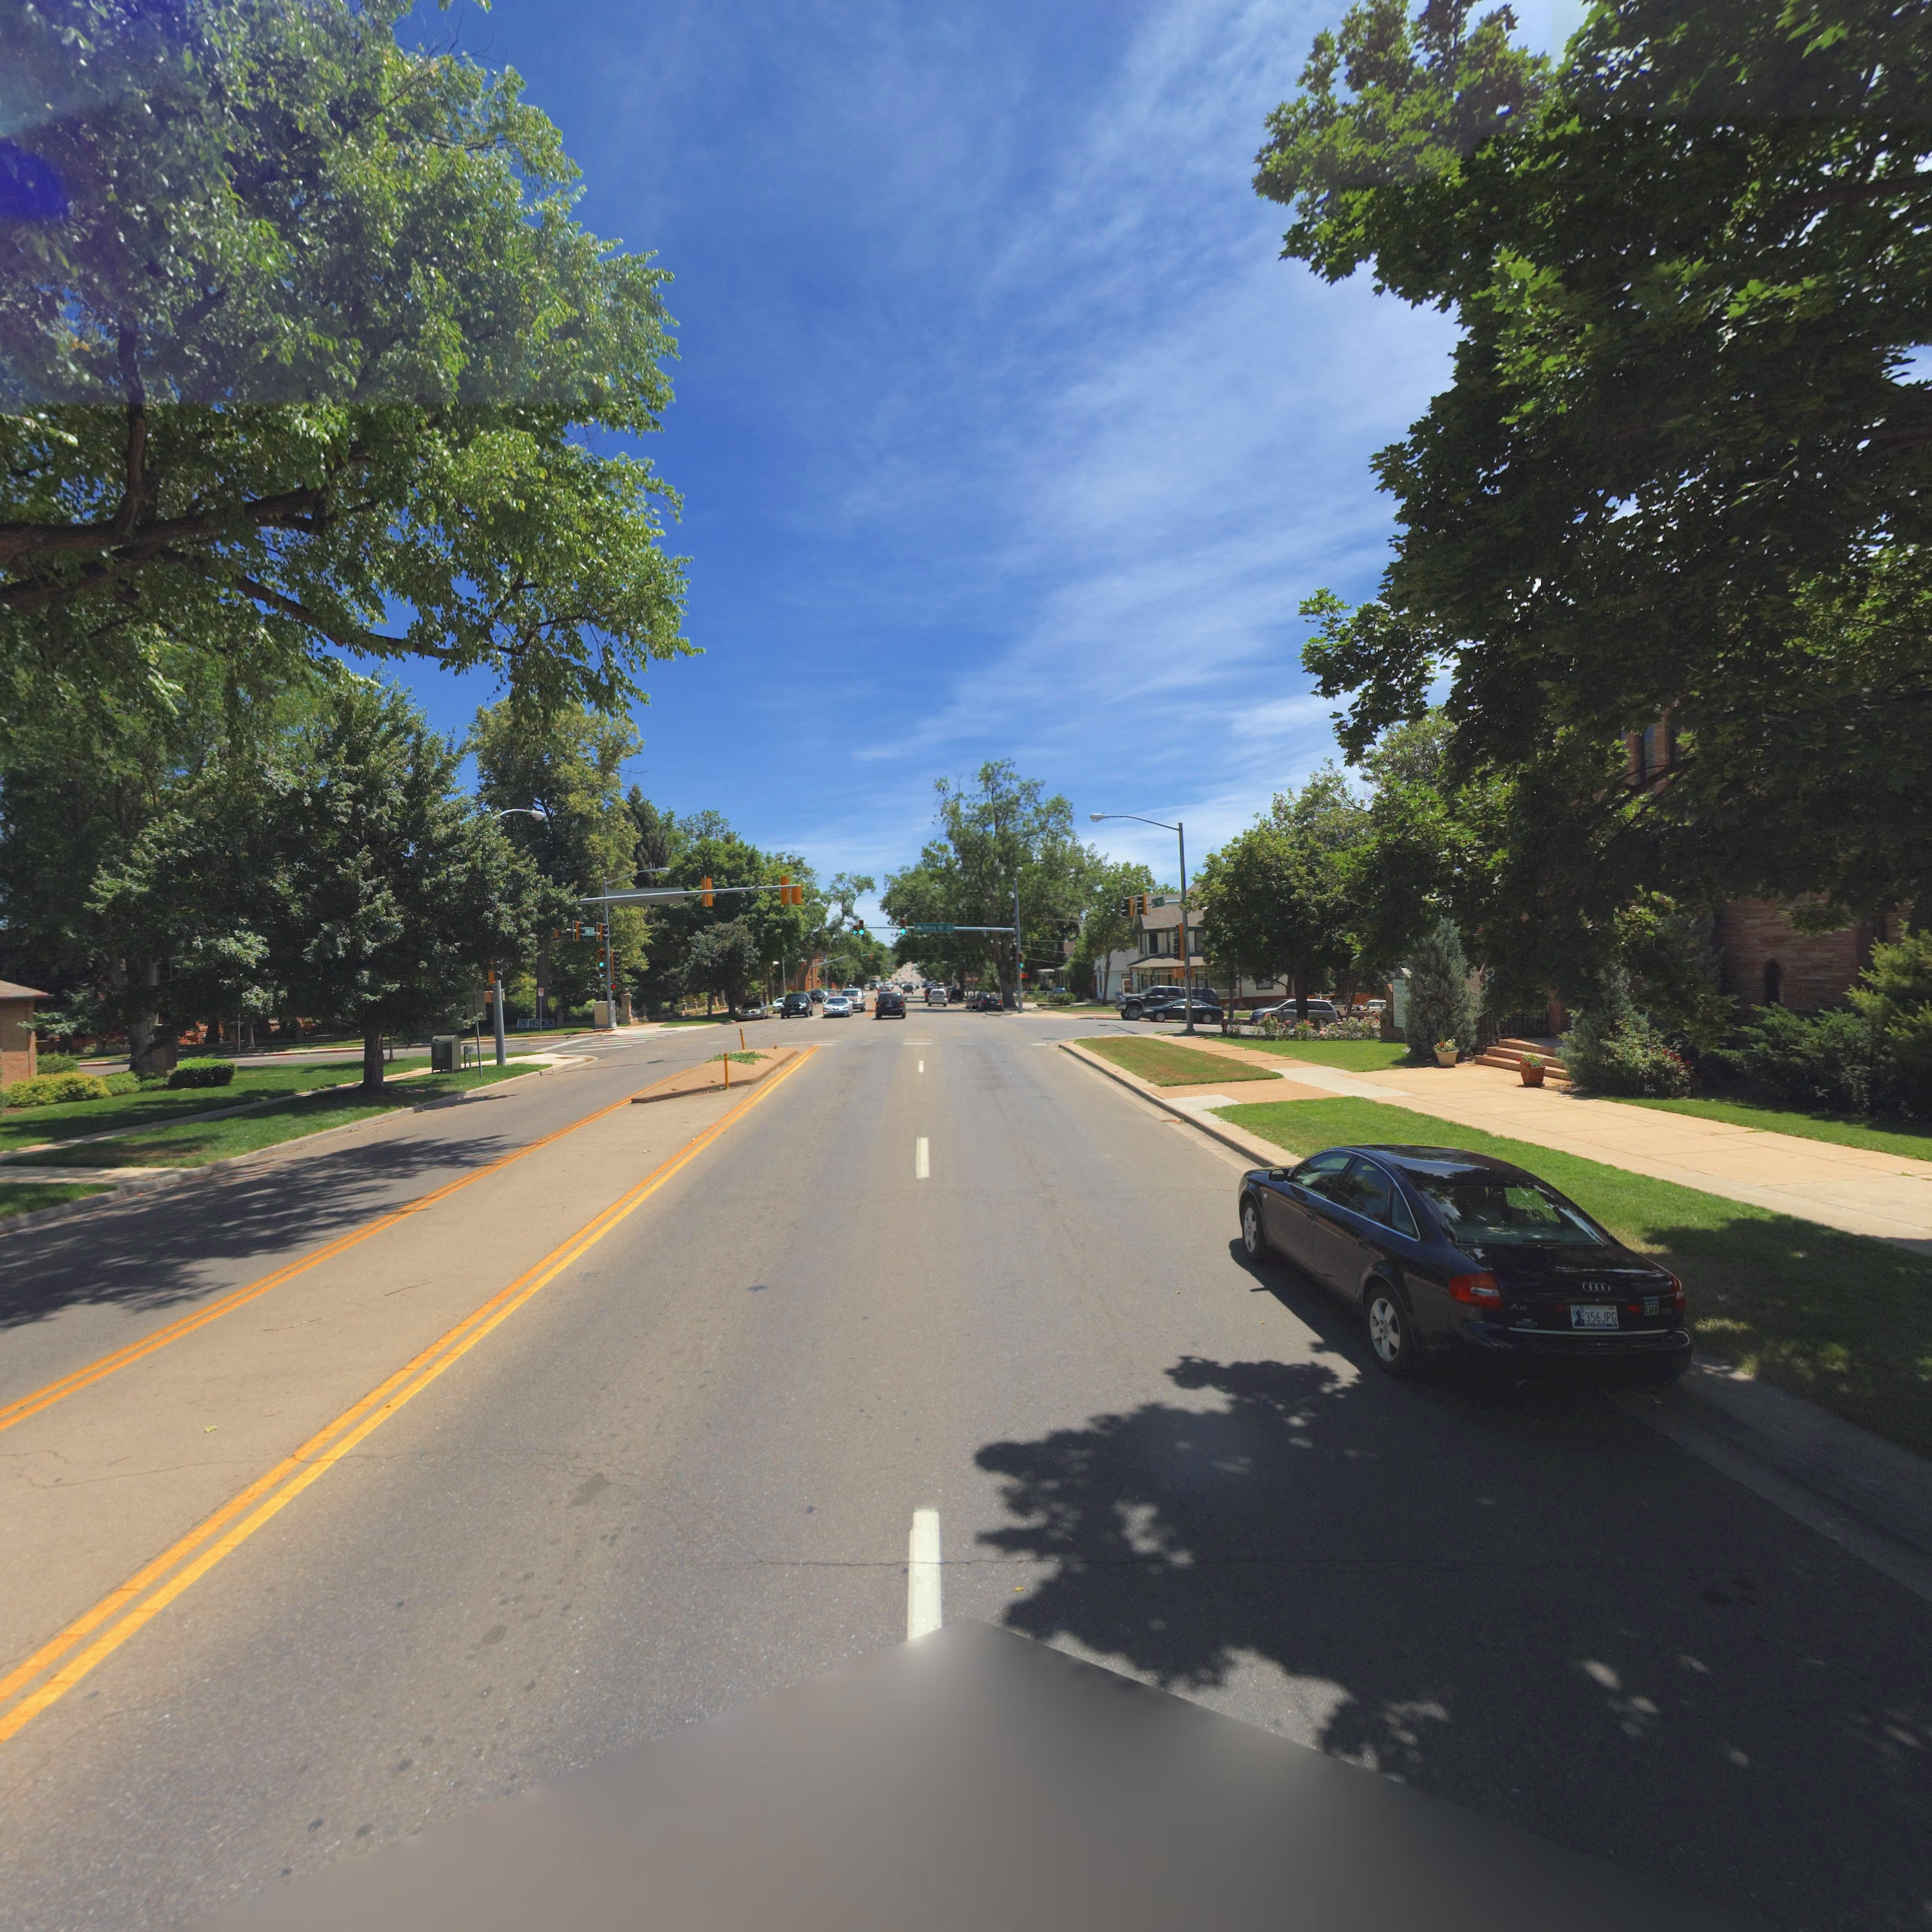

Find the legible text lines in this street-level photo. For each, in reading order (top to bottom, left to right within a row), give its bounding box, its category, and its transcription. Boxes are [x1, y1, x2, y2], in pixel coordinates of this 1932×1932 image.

[1154, 899, 1161, 906] StreetName: 7** A**
[923, 925, 943, 931] StreetName: Terry St
[586, 929, 590, 934] StreetName: A**